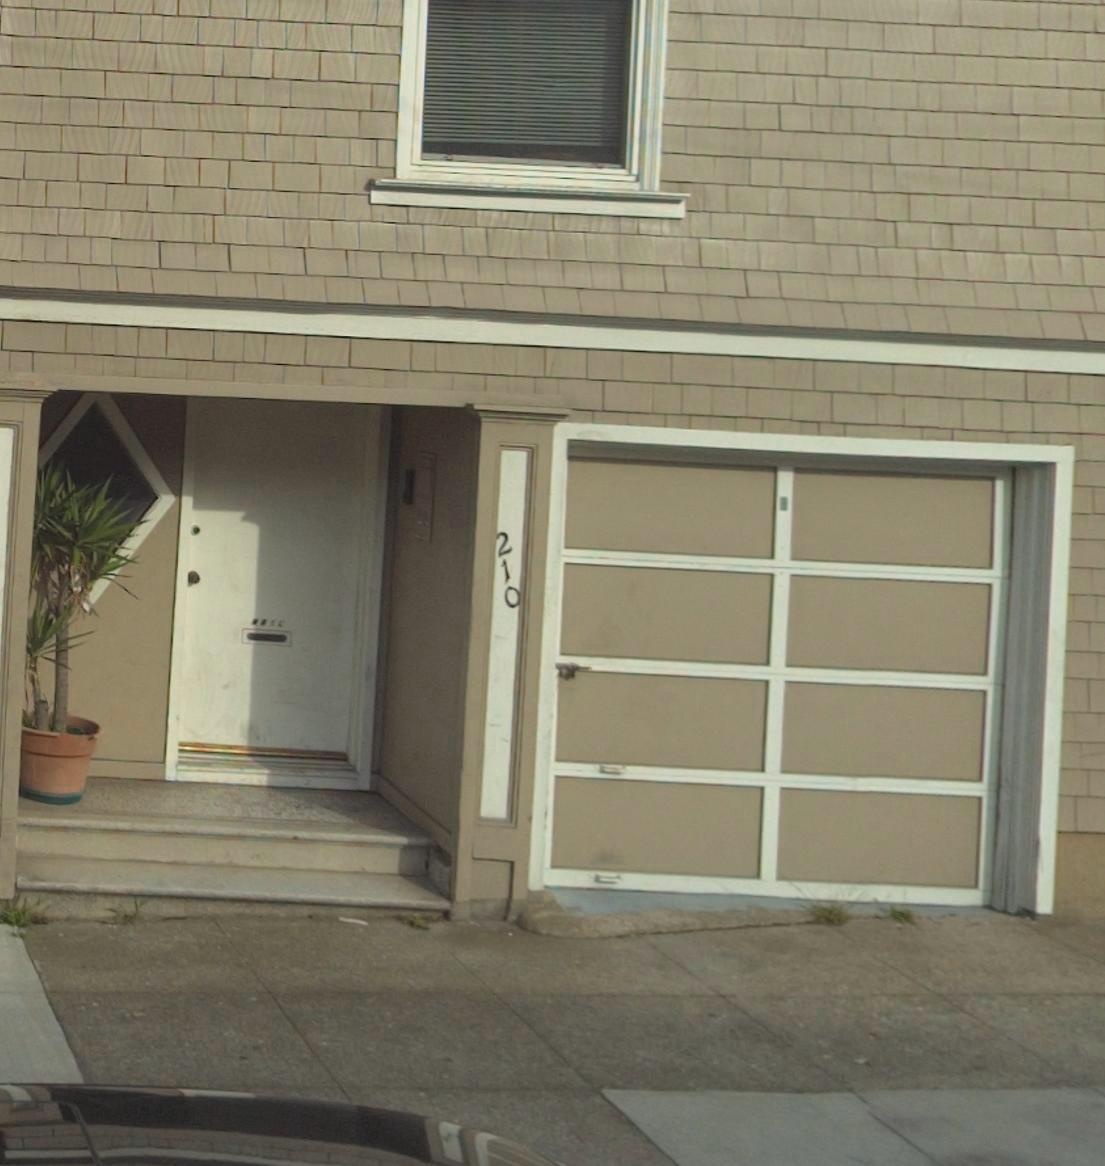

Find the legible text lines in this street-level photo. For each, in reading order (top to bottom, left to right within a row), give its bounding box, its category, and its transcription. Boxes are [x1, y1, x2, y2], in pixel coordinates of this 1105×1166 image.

[494, 530, 524, 611] StreetNumber: 210